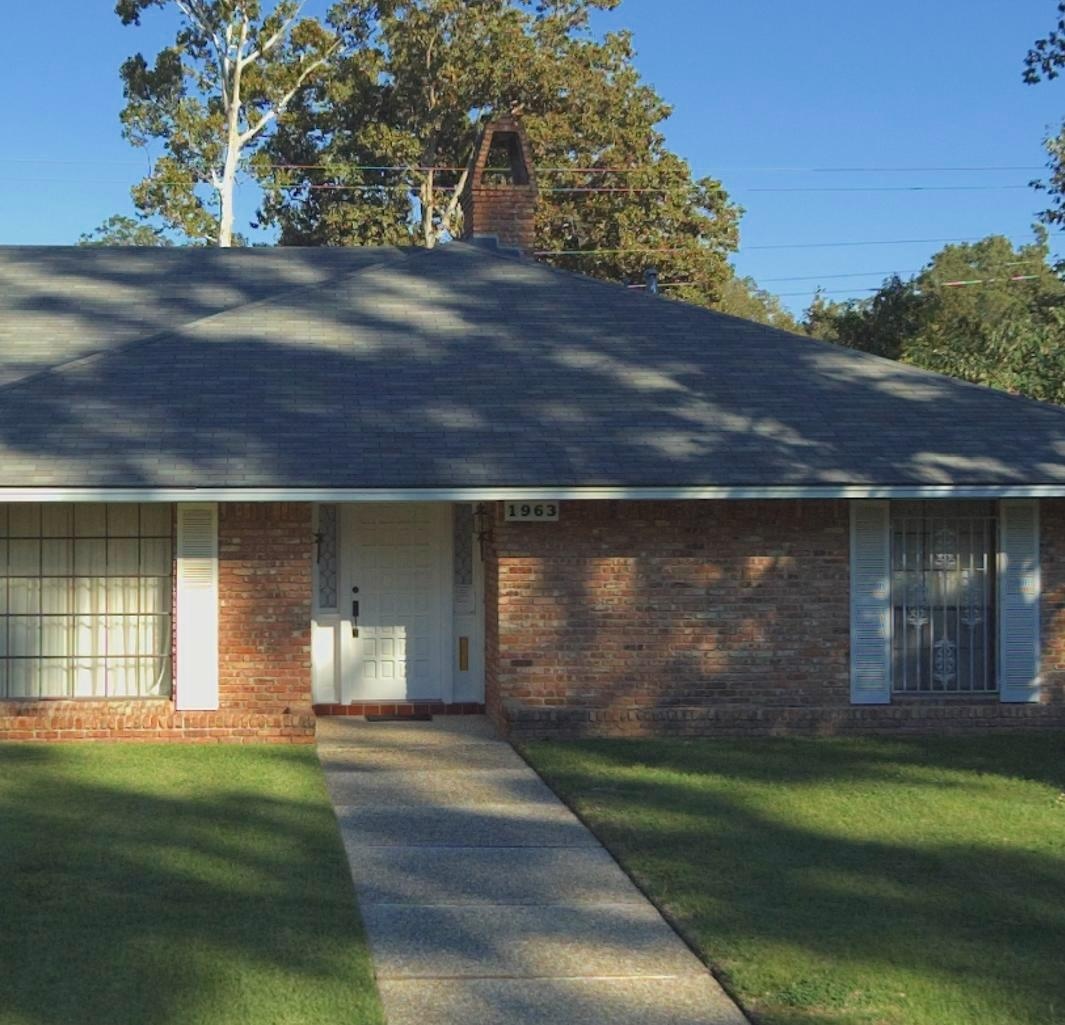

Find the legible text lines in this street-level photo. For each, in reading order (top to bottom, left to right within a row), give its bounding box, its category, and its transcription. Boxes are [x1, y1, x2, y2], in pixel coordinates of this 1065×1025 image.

[506, 502, 558, 518] StreetNumber: 1963